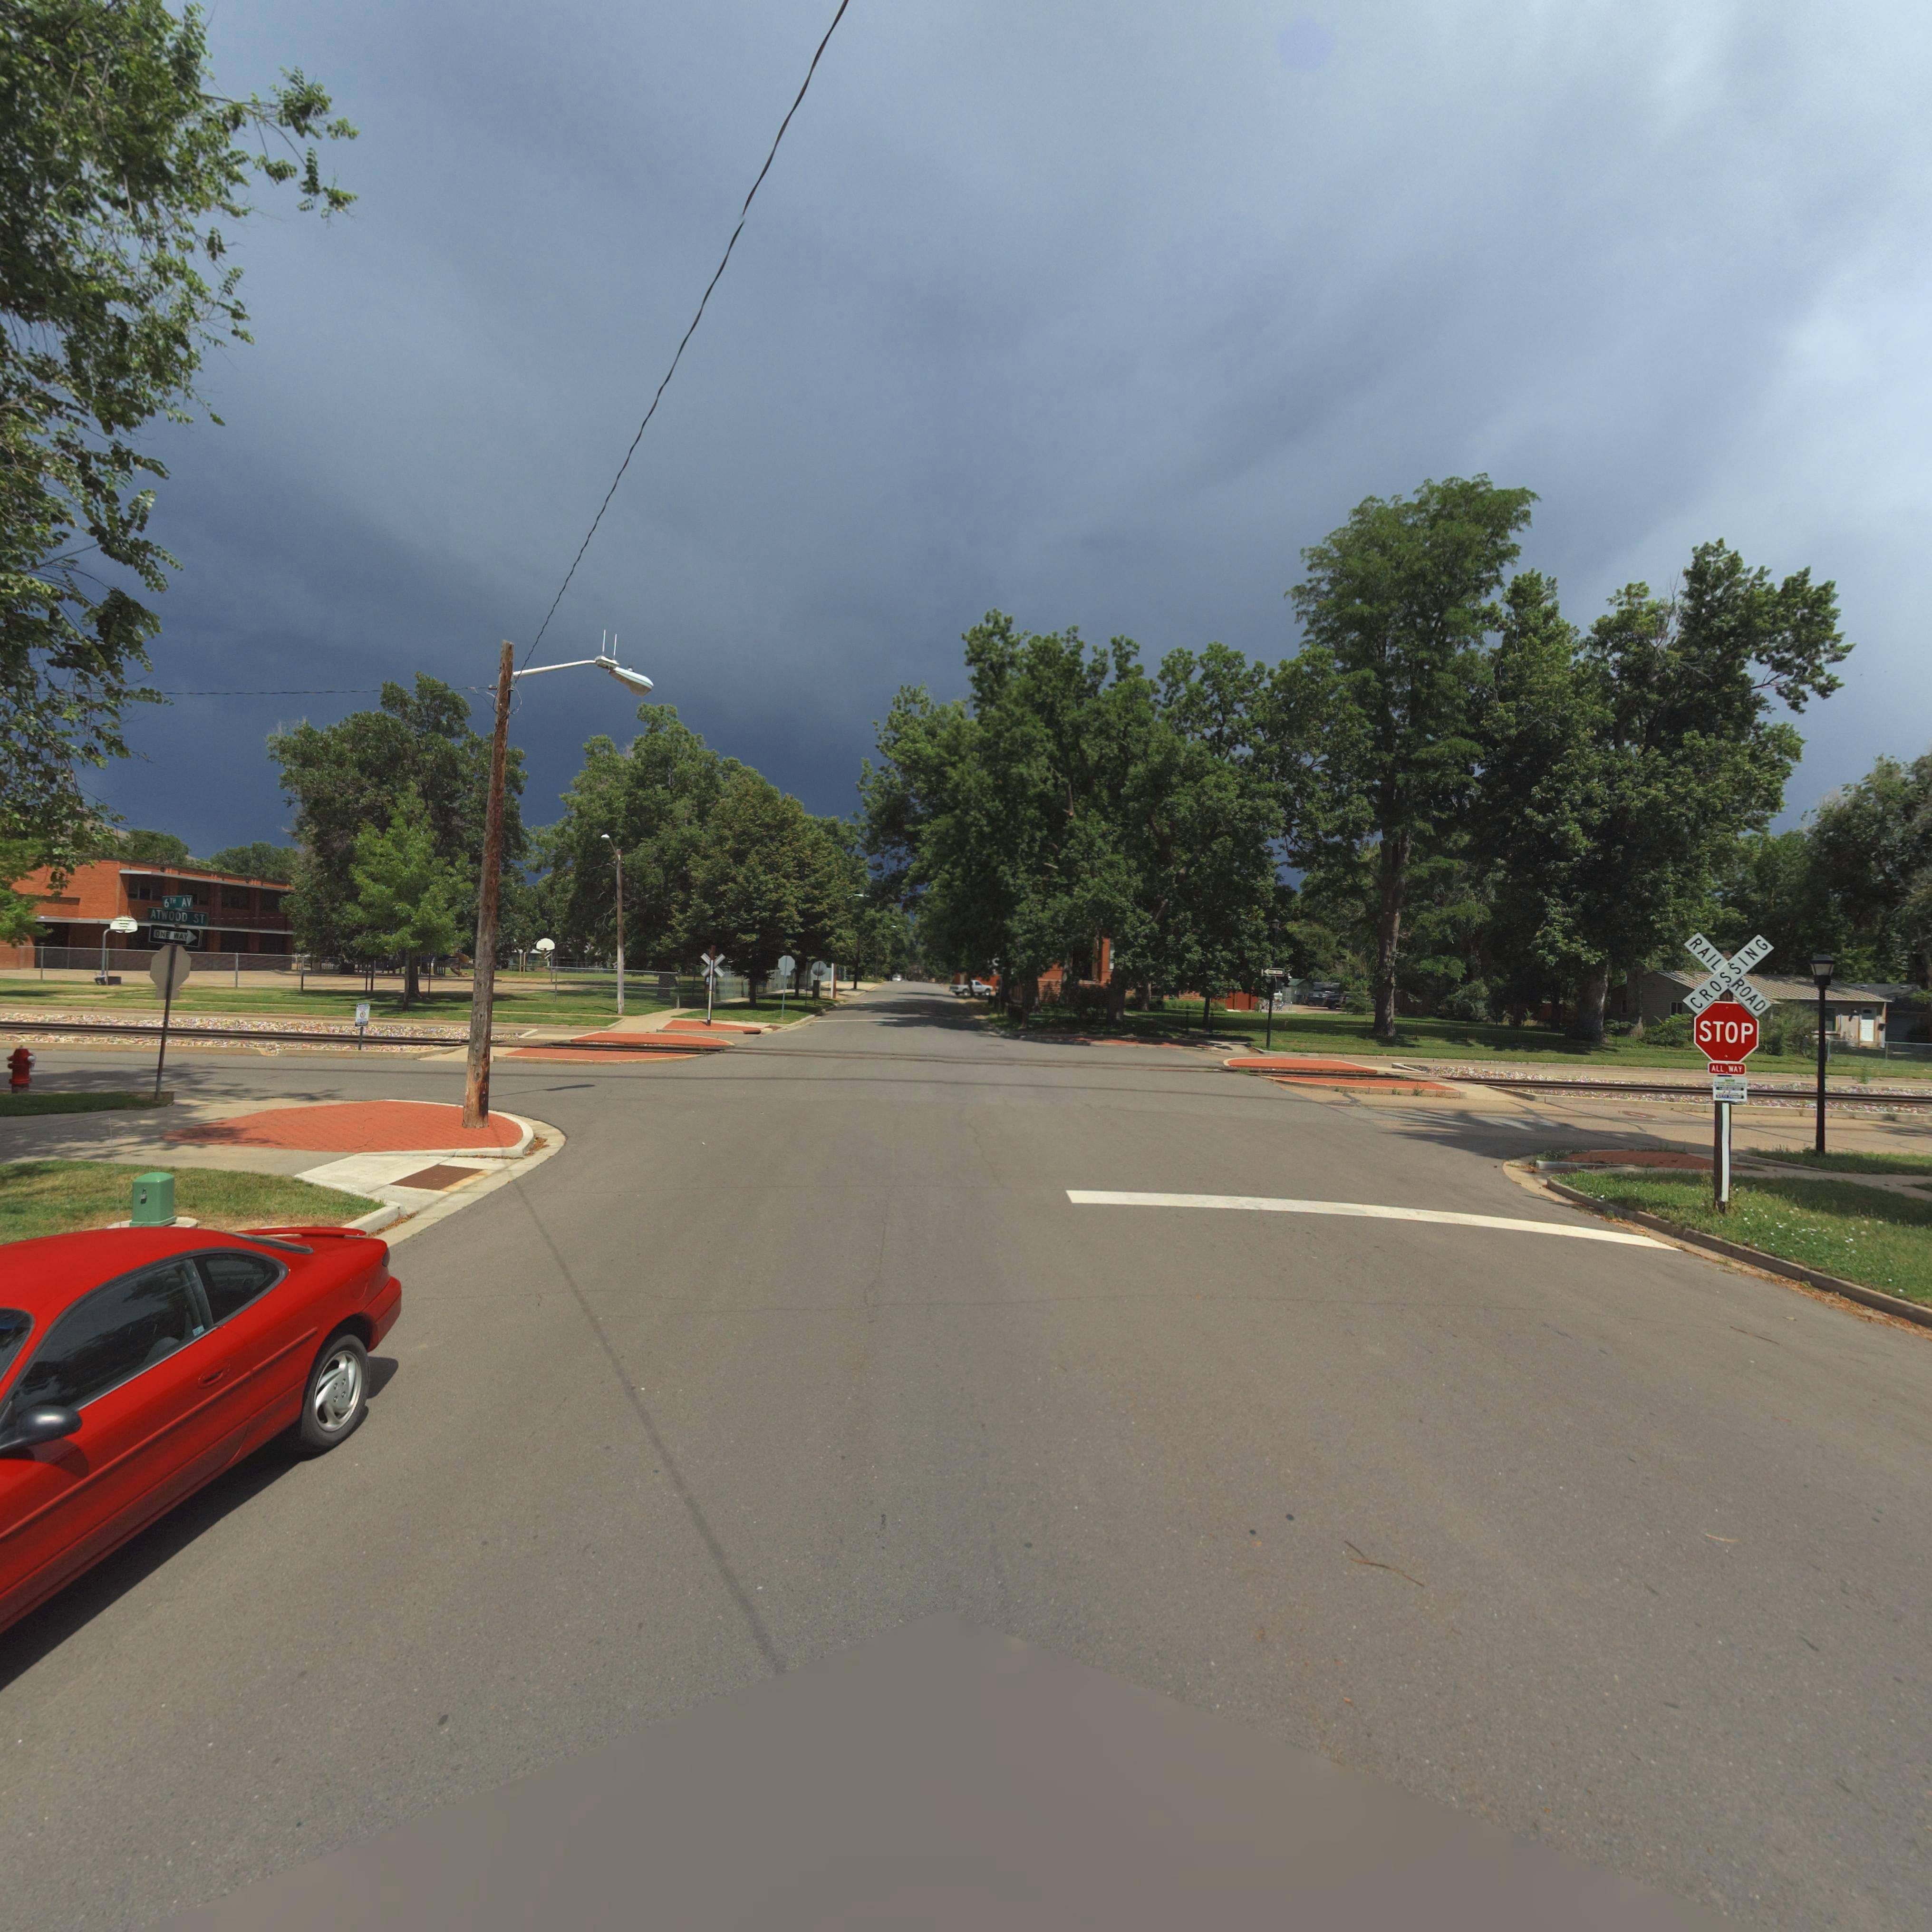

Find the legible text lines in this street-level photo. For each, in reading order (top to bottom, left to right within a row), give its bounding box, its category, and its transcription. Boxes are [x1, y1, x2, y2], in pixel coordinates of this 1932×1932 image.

[164, 897, 192, 908] StreetName: 6TH AV
[148, 908, 206, 925] StreetName: ATWOOD ST